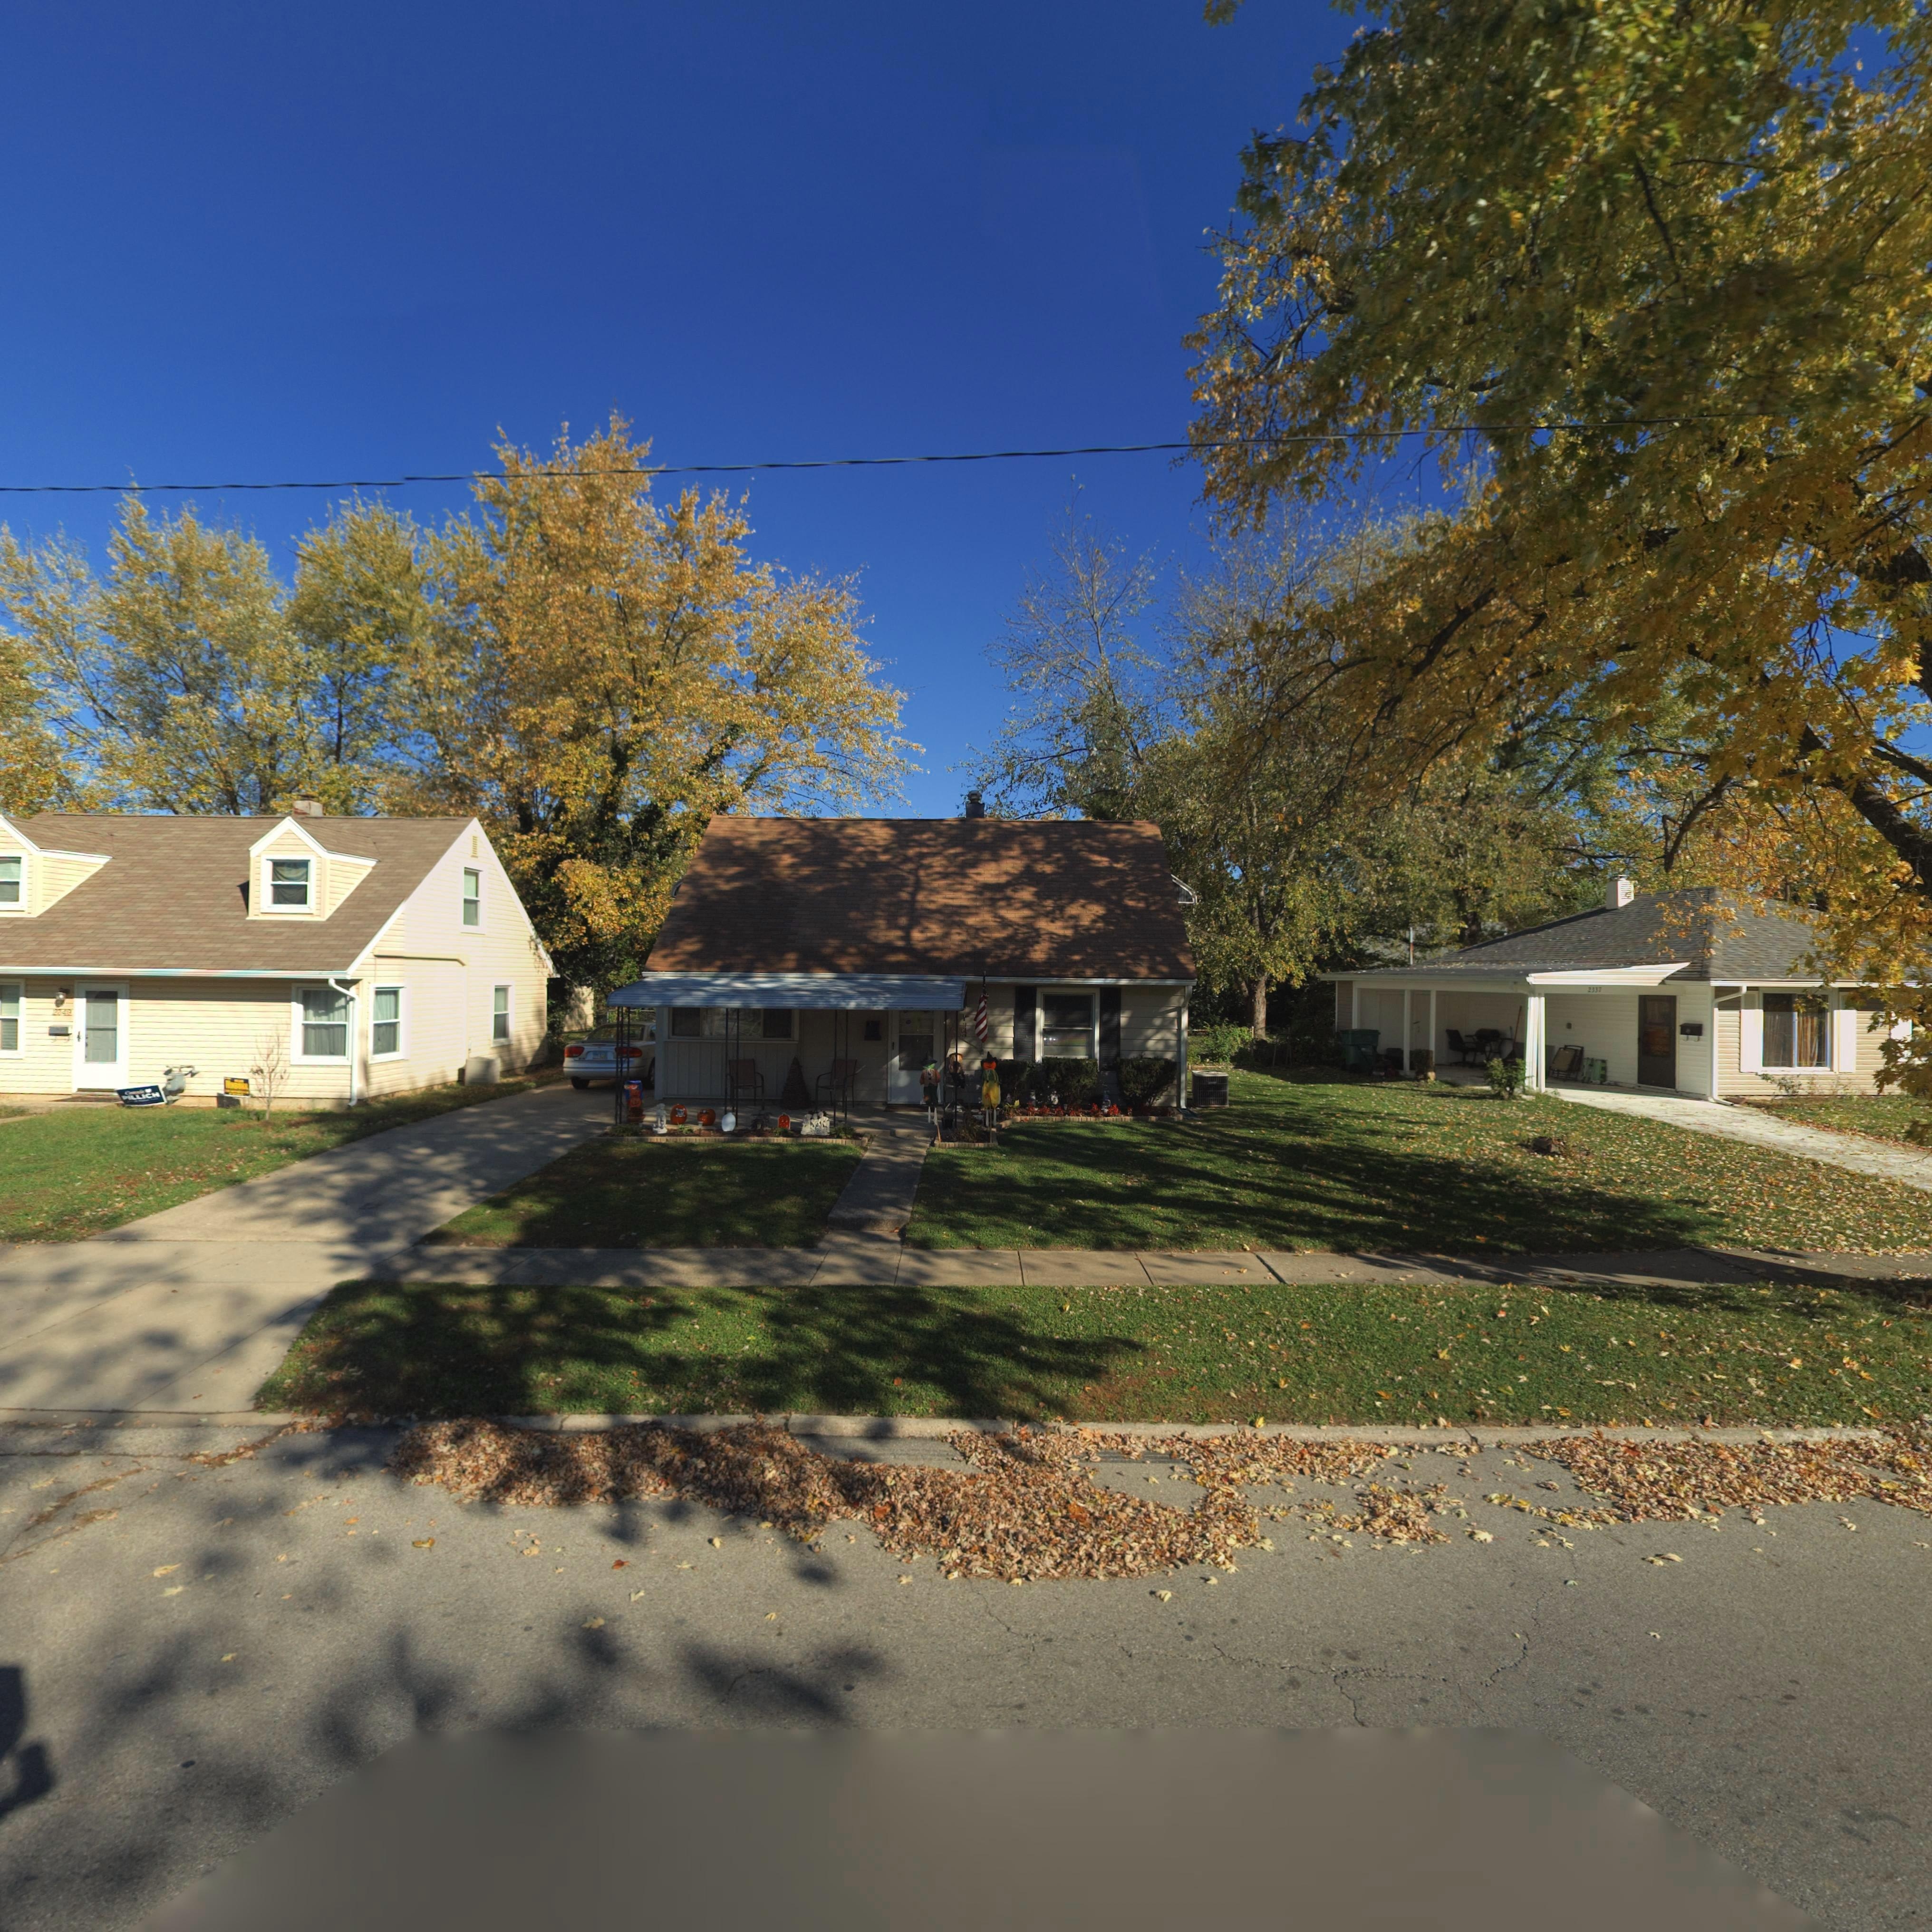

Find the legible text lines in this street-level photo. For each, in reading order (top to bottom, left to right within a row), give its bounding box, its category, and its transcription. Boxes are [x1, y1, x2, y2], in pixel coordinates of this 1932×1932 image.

[1587, 986, 1603, 994] StreetNumber: 2*37
[52, 1008, 72, 1017] StreetNumber: 2*4*